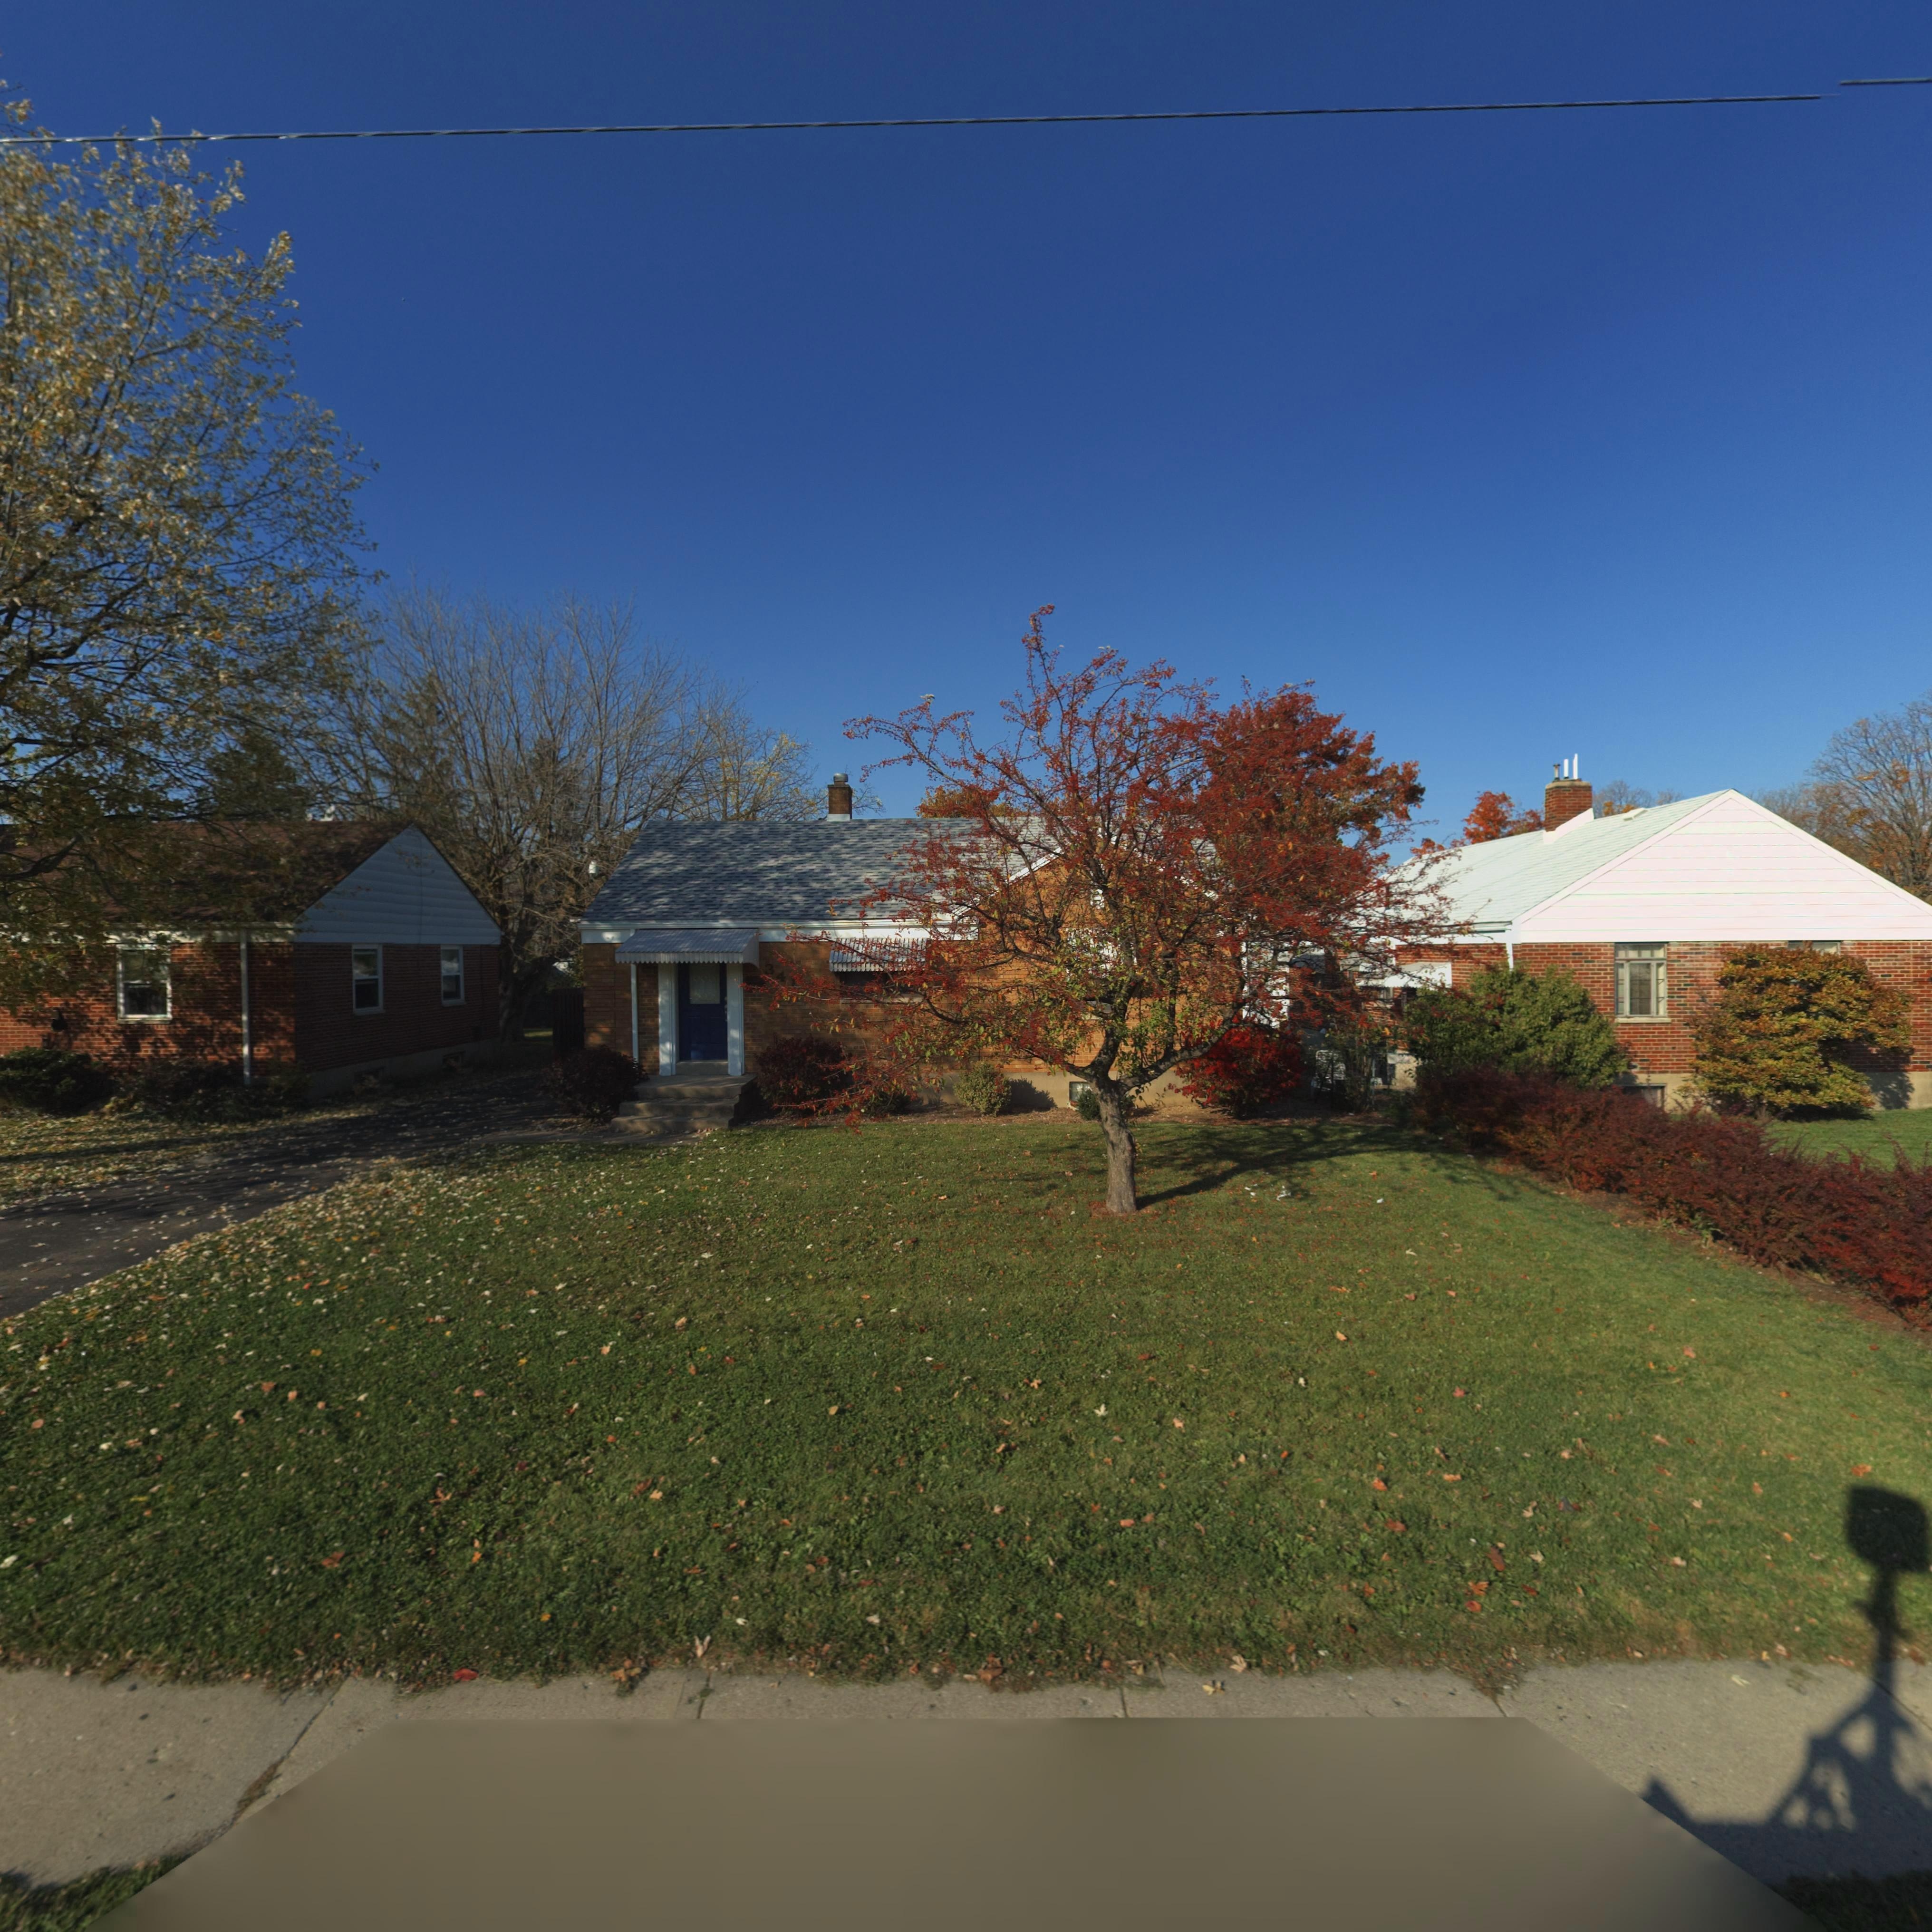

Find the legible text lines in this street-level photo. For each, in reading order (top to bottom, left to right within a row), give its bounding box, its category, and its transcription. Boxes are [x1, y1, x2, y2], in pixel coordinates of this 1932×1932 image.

[764, 963, 798, 989] StreetNumber: 34*